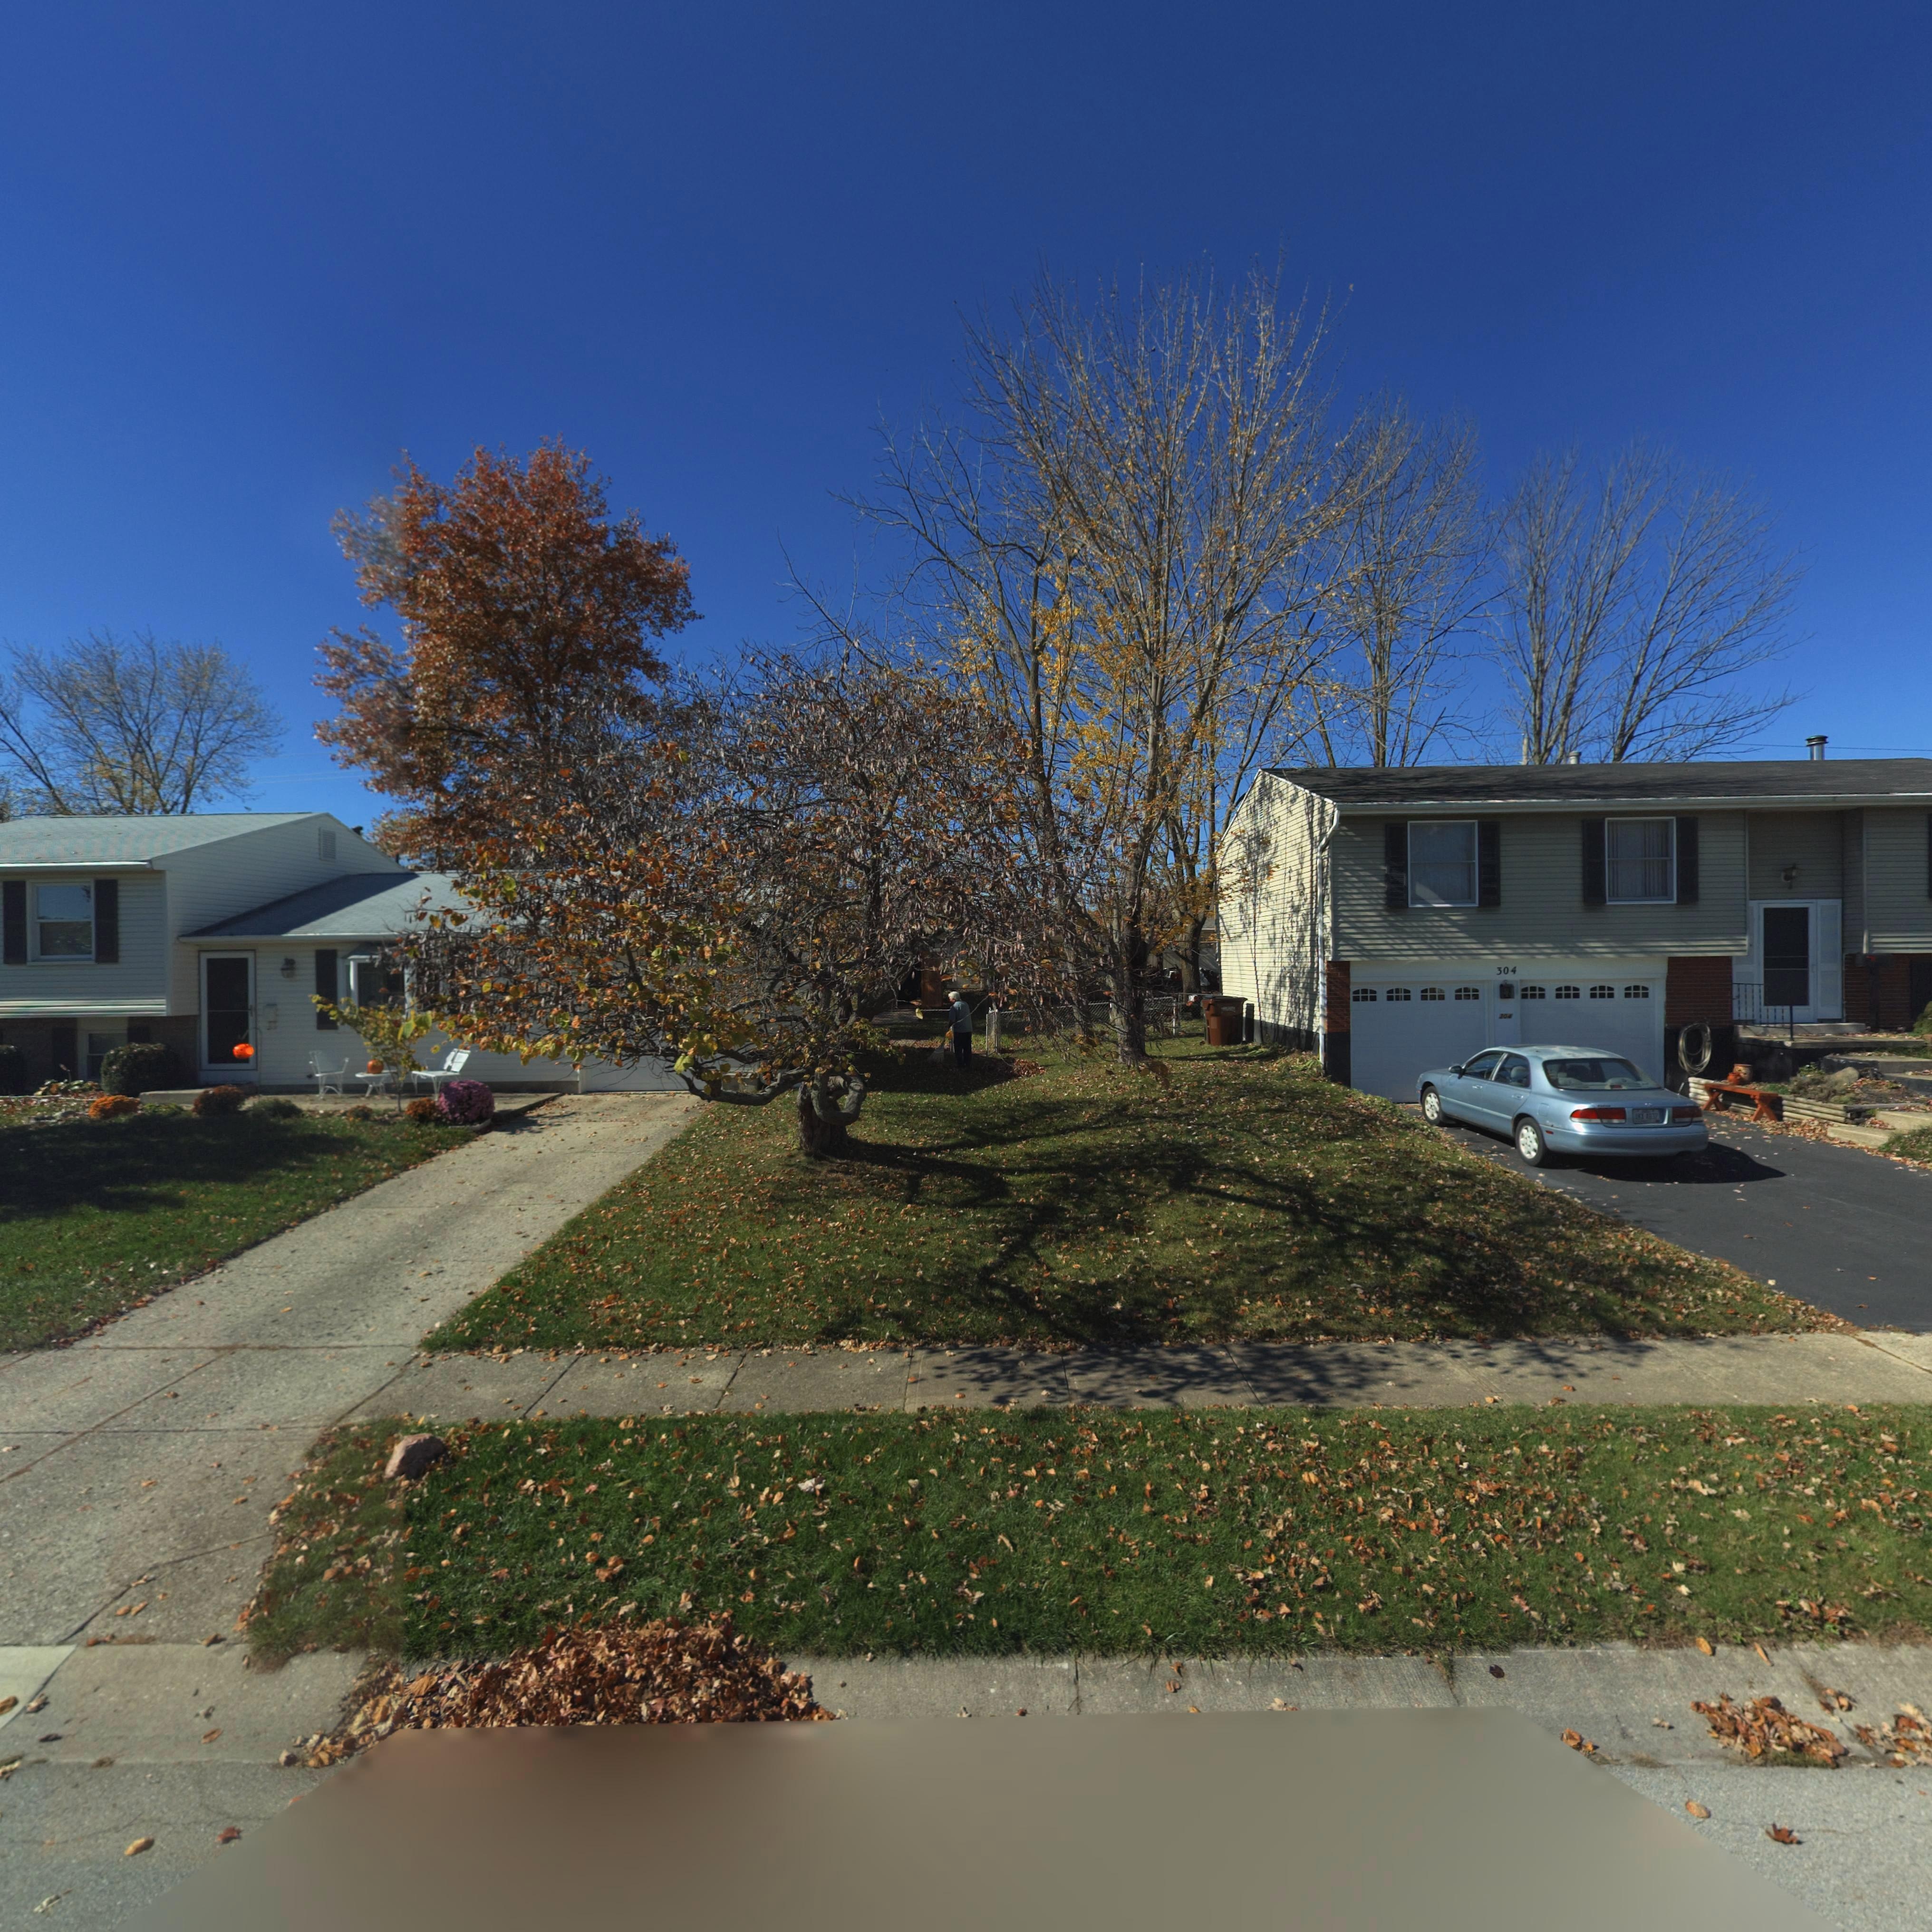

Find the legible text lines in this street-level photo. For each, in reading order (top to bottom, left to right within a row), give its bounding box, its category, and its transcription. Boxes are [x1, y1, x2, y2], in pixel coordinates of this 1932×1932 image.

[1496, 966, 1517, 976] StreetNumber: 304
[1498, 1013, 1513, 1019] StreetNumber: 304